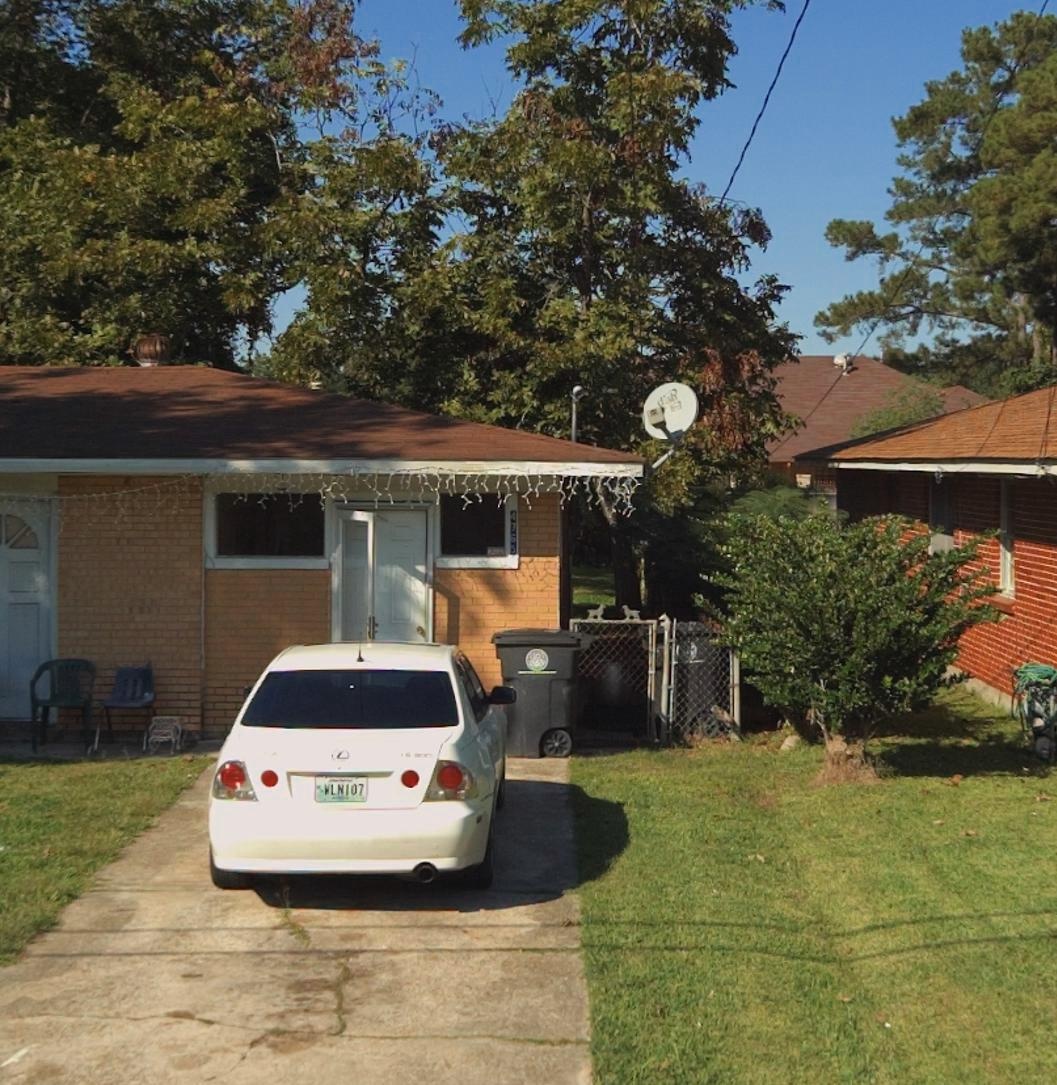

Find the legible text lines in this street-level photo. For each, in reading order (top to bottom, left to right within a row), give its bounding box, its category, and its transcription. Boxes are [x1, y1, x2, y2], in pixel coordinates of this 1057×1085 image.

[510, 510, 517, 555] StreetNumber: 4765
[323, 782, 364, 797] None: WLN107